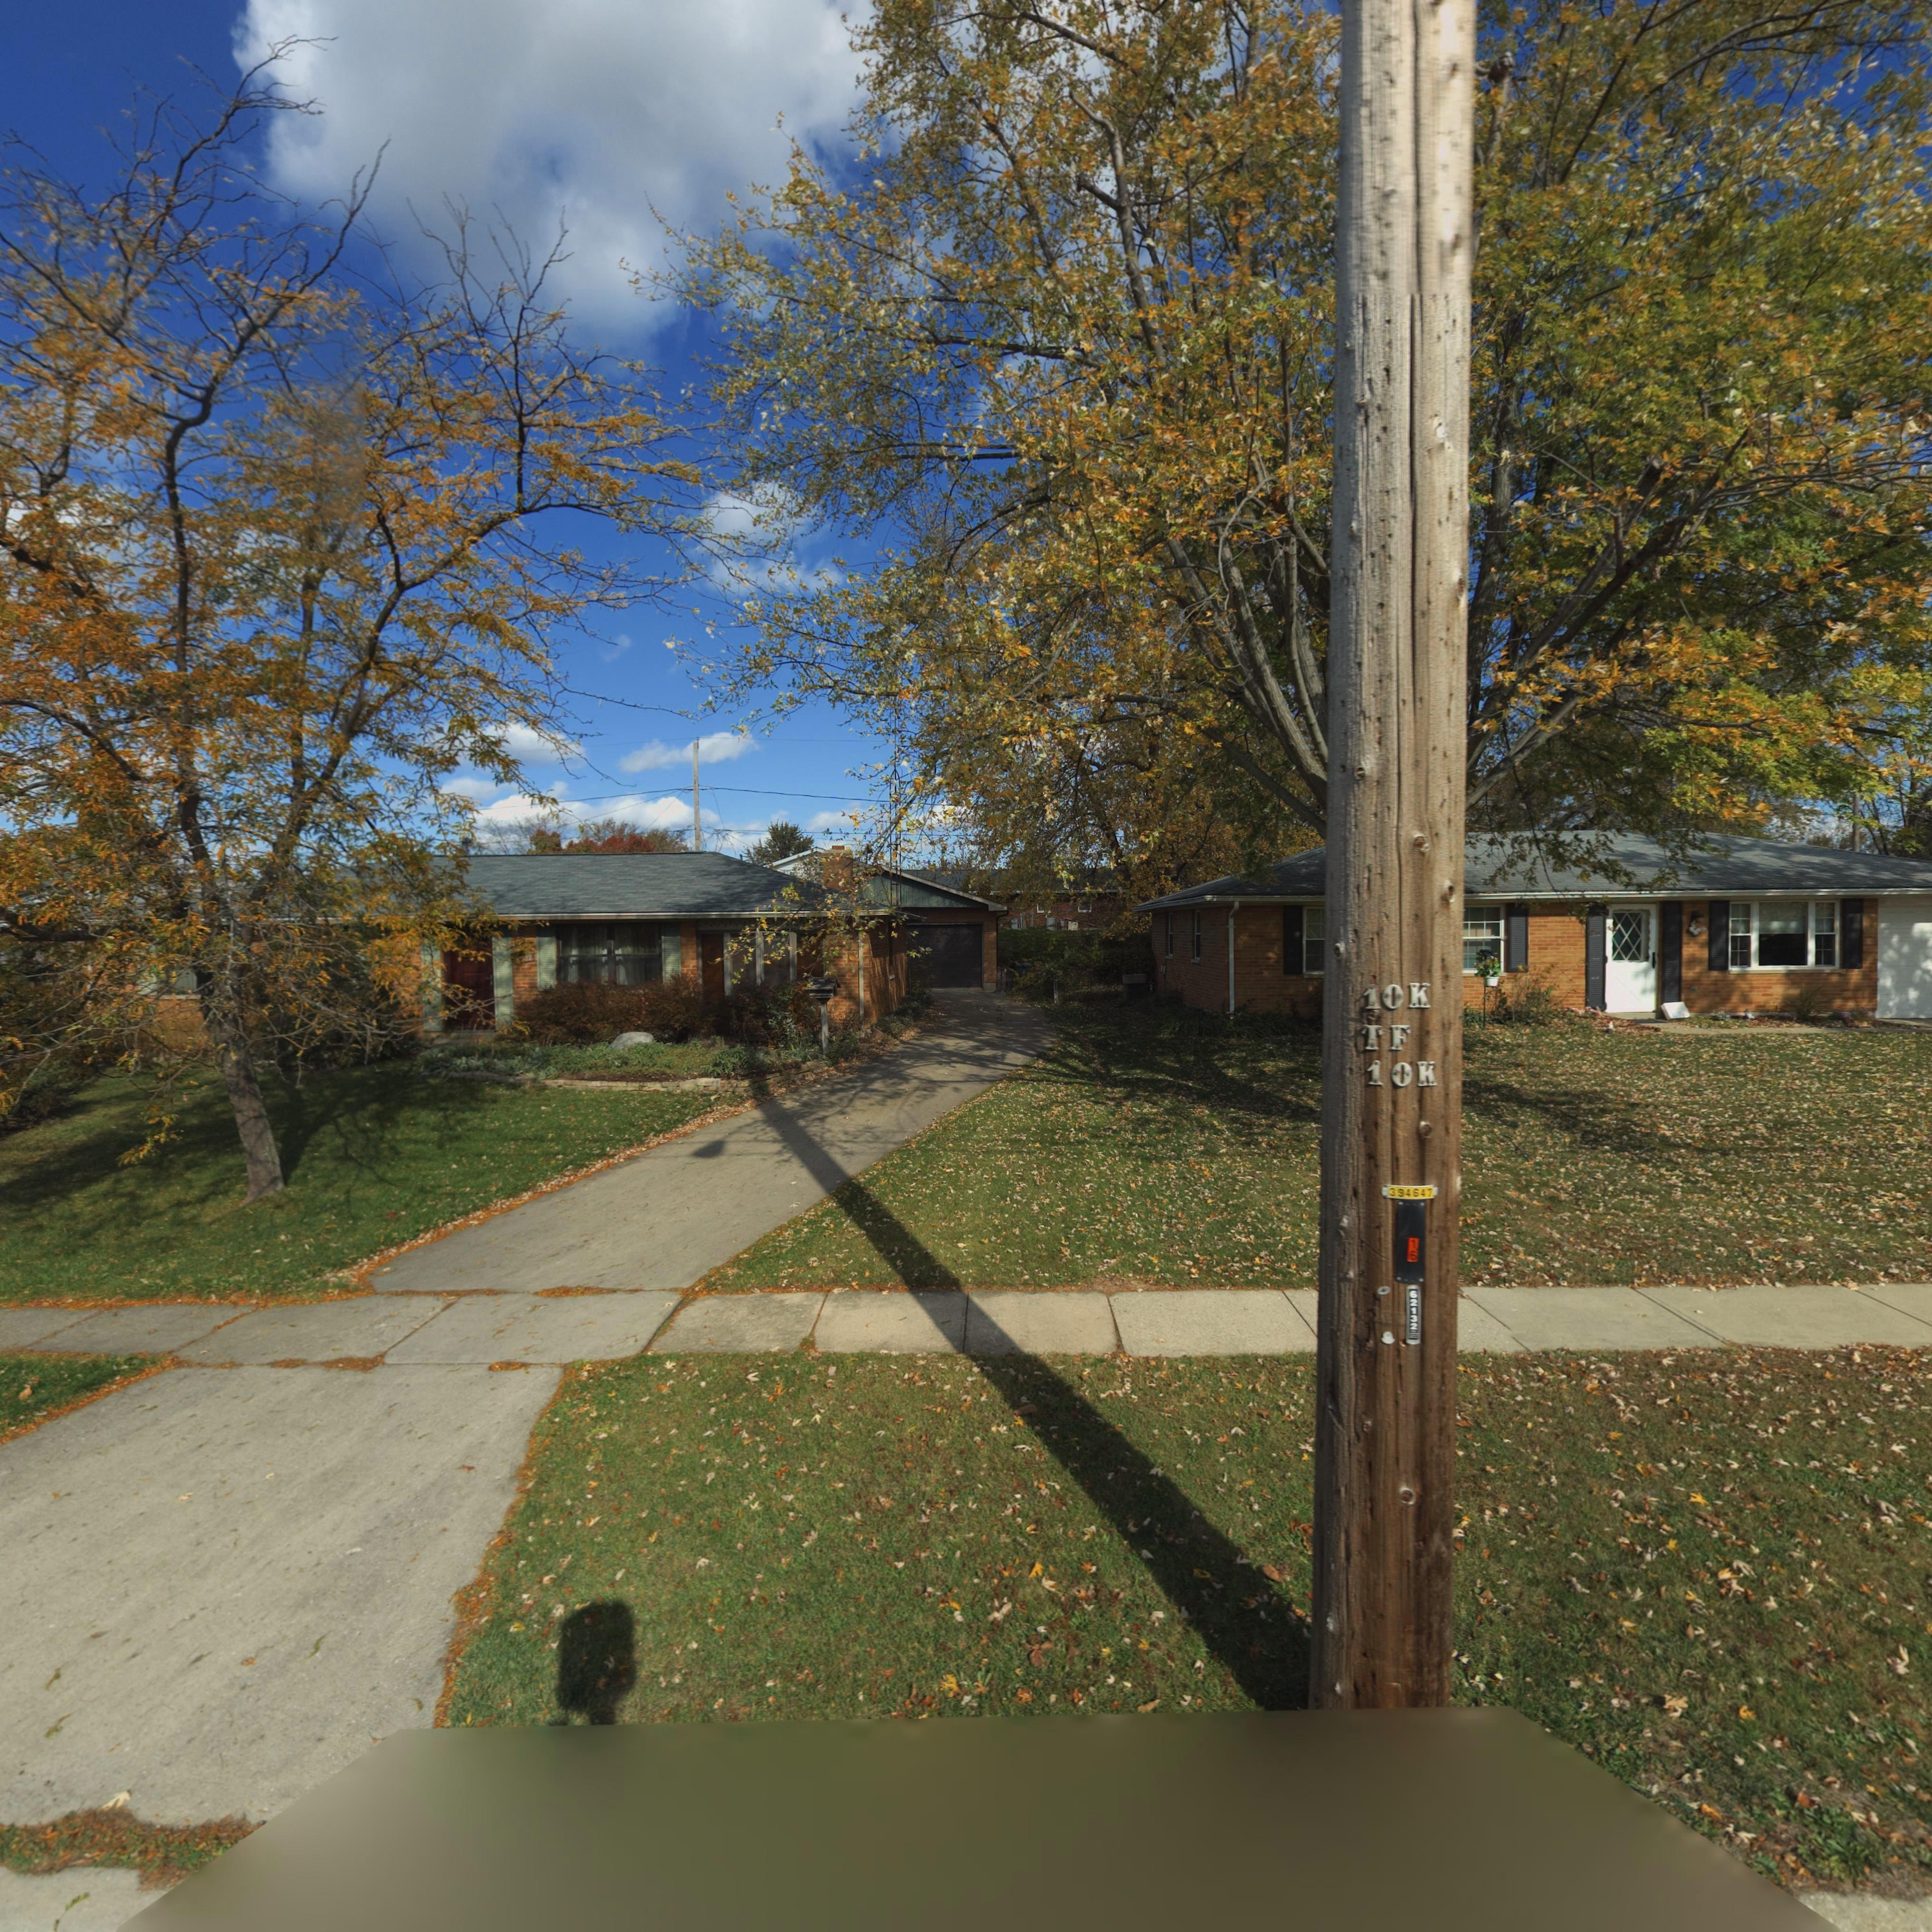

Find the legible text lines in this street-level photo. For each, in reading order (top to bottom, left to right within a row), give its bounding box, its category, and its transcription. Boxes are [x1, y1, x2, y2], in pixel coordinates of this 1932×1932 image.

[525, 954, 532, 962] StreetNumber: 27